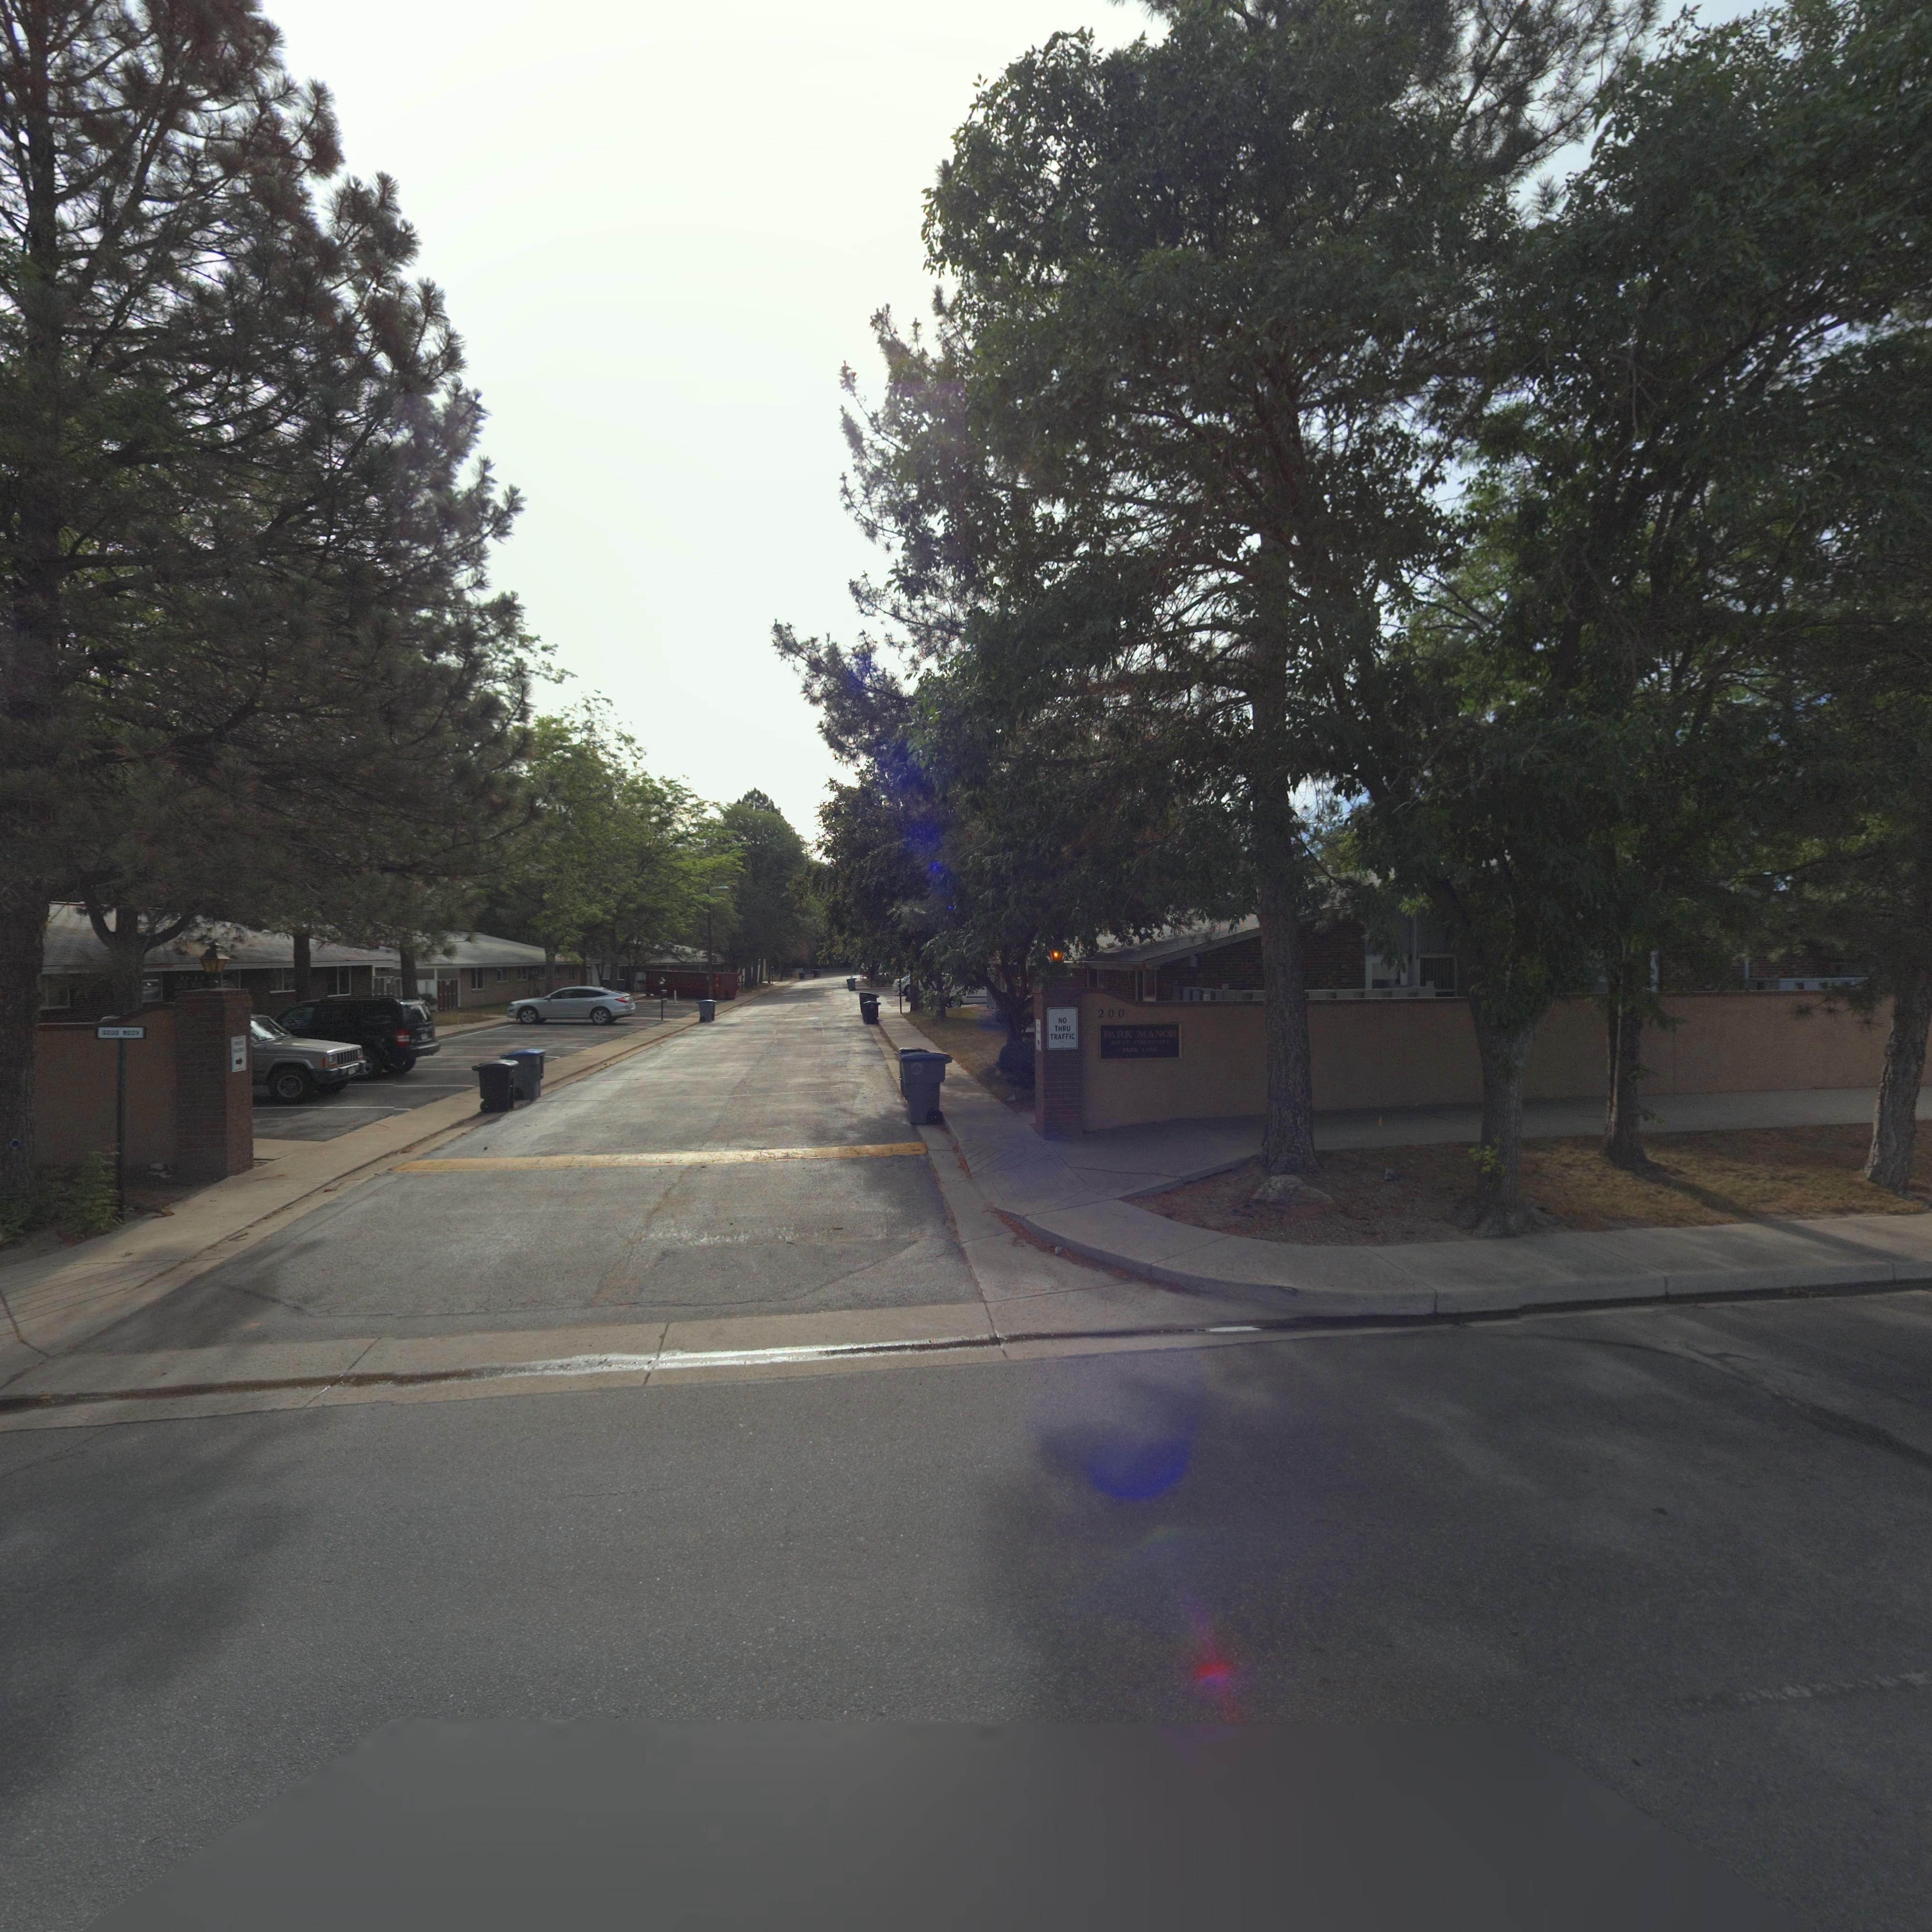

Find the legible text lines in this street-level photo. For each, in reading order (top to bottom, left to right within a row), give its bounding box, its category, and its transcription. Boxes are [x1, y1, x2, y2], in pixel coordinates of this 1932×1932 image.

[1097, 1008, 1125, 1018] StreetNumber: 200